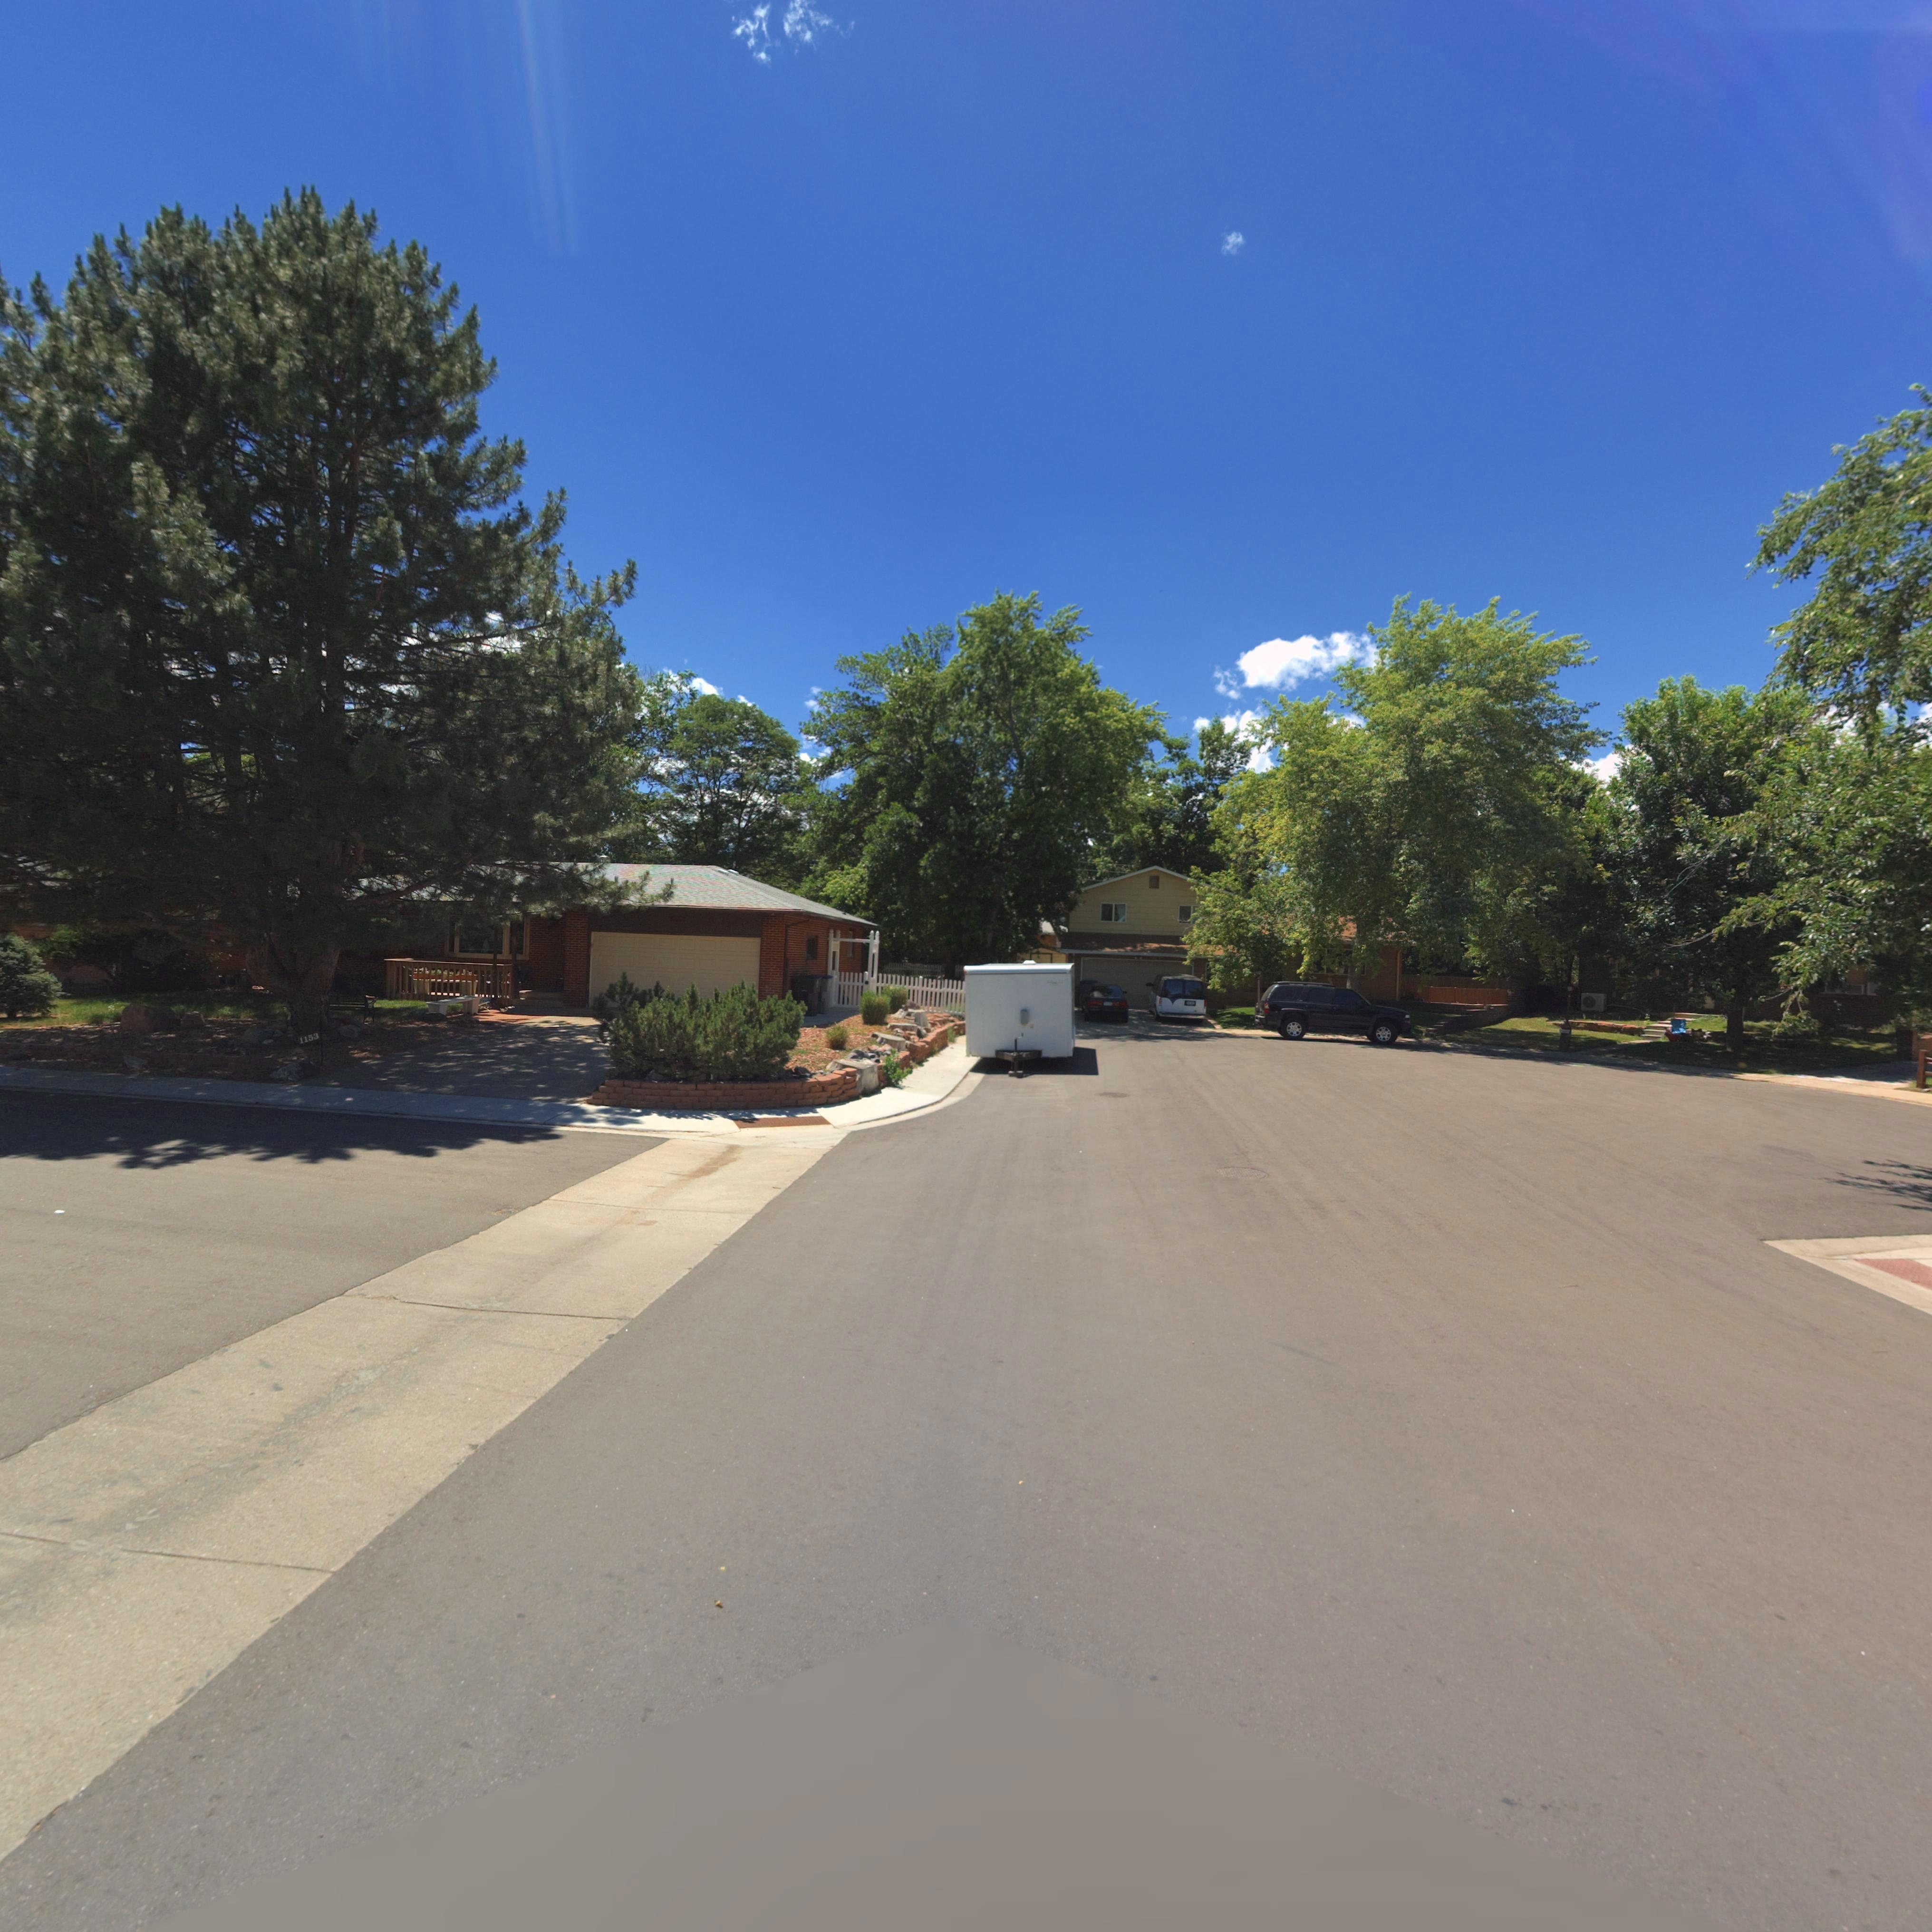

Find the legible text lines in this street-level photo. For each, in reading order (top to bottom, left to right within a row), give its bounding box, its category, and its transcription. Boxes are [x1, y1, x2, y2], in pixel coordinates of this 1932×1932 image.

[299, 1032, 319, 1044] StreetNumber: 1153